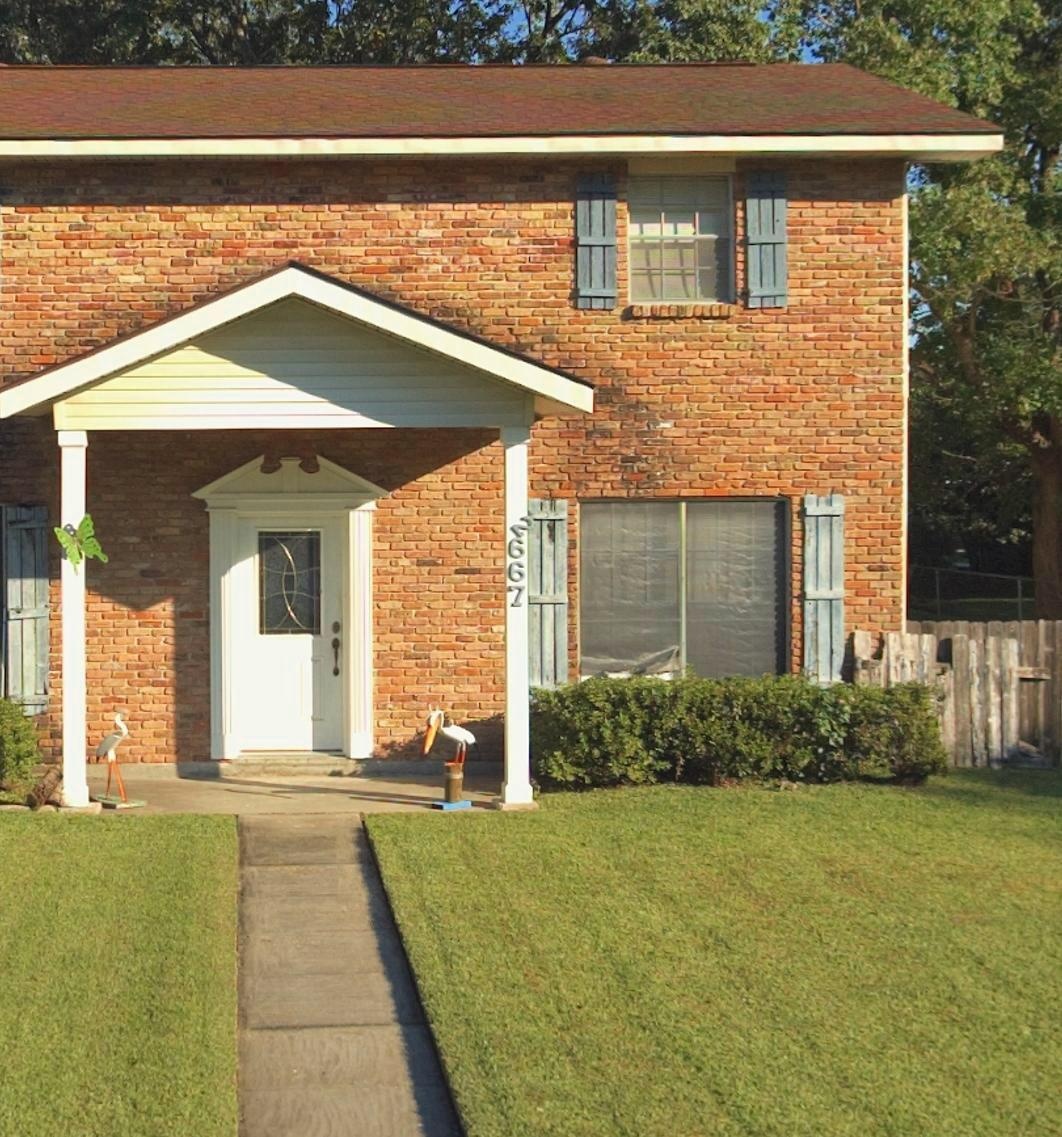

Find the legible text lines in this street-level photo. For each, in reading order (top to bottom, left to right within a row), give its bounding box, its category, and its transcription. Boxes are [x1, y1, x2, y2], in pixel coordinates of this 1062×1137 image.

[507, 513, 536, 608] StreetNumber: 2667